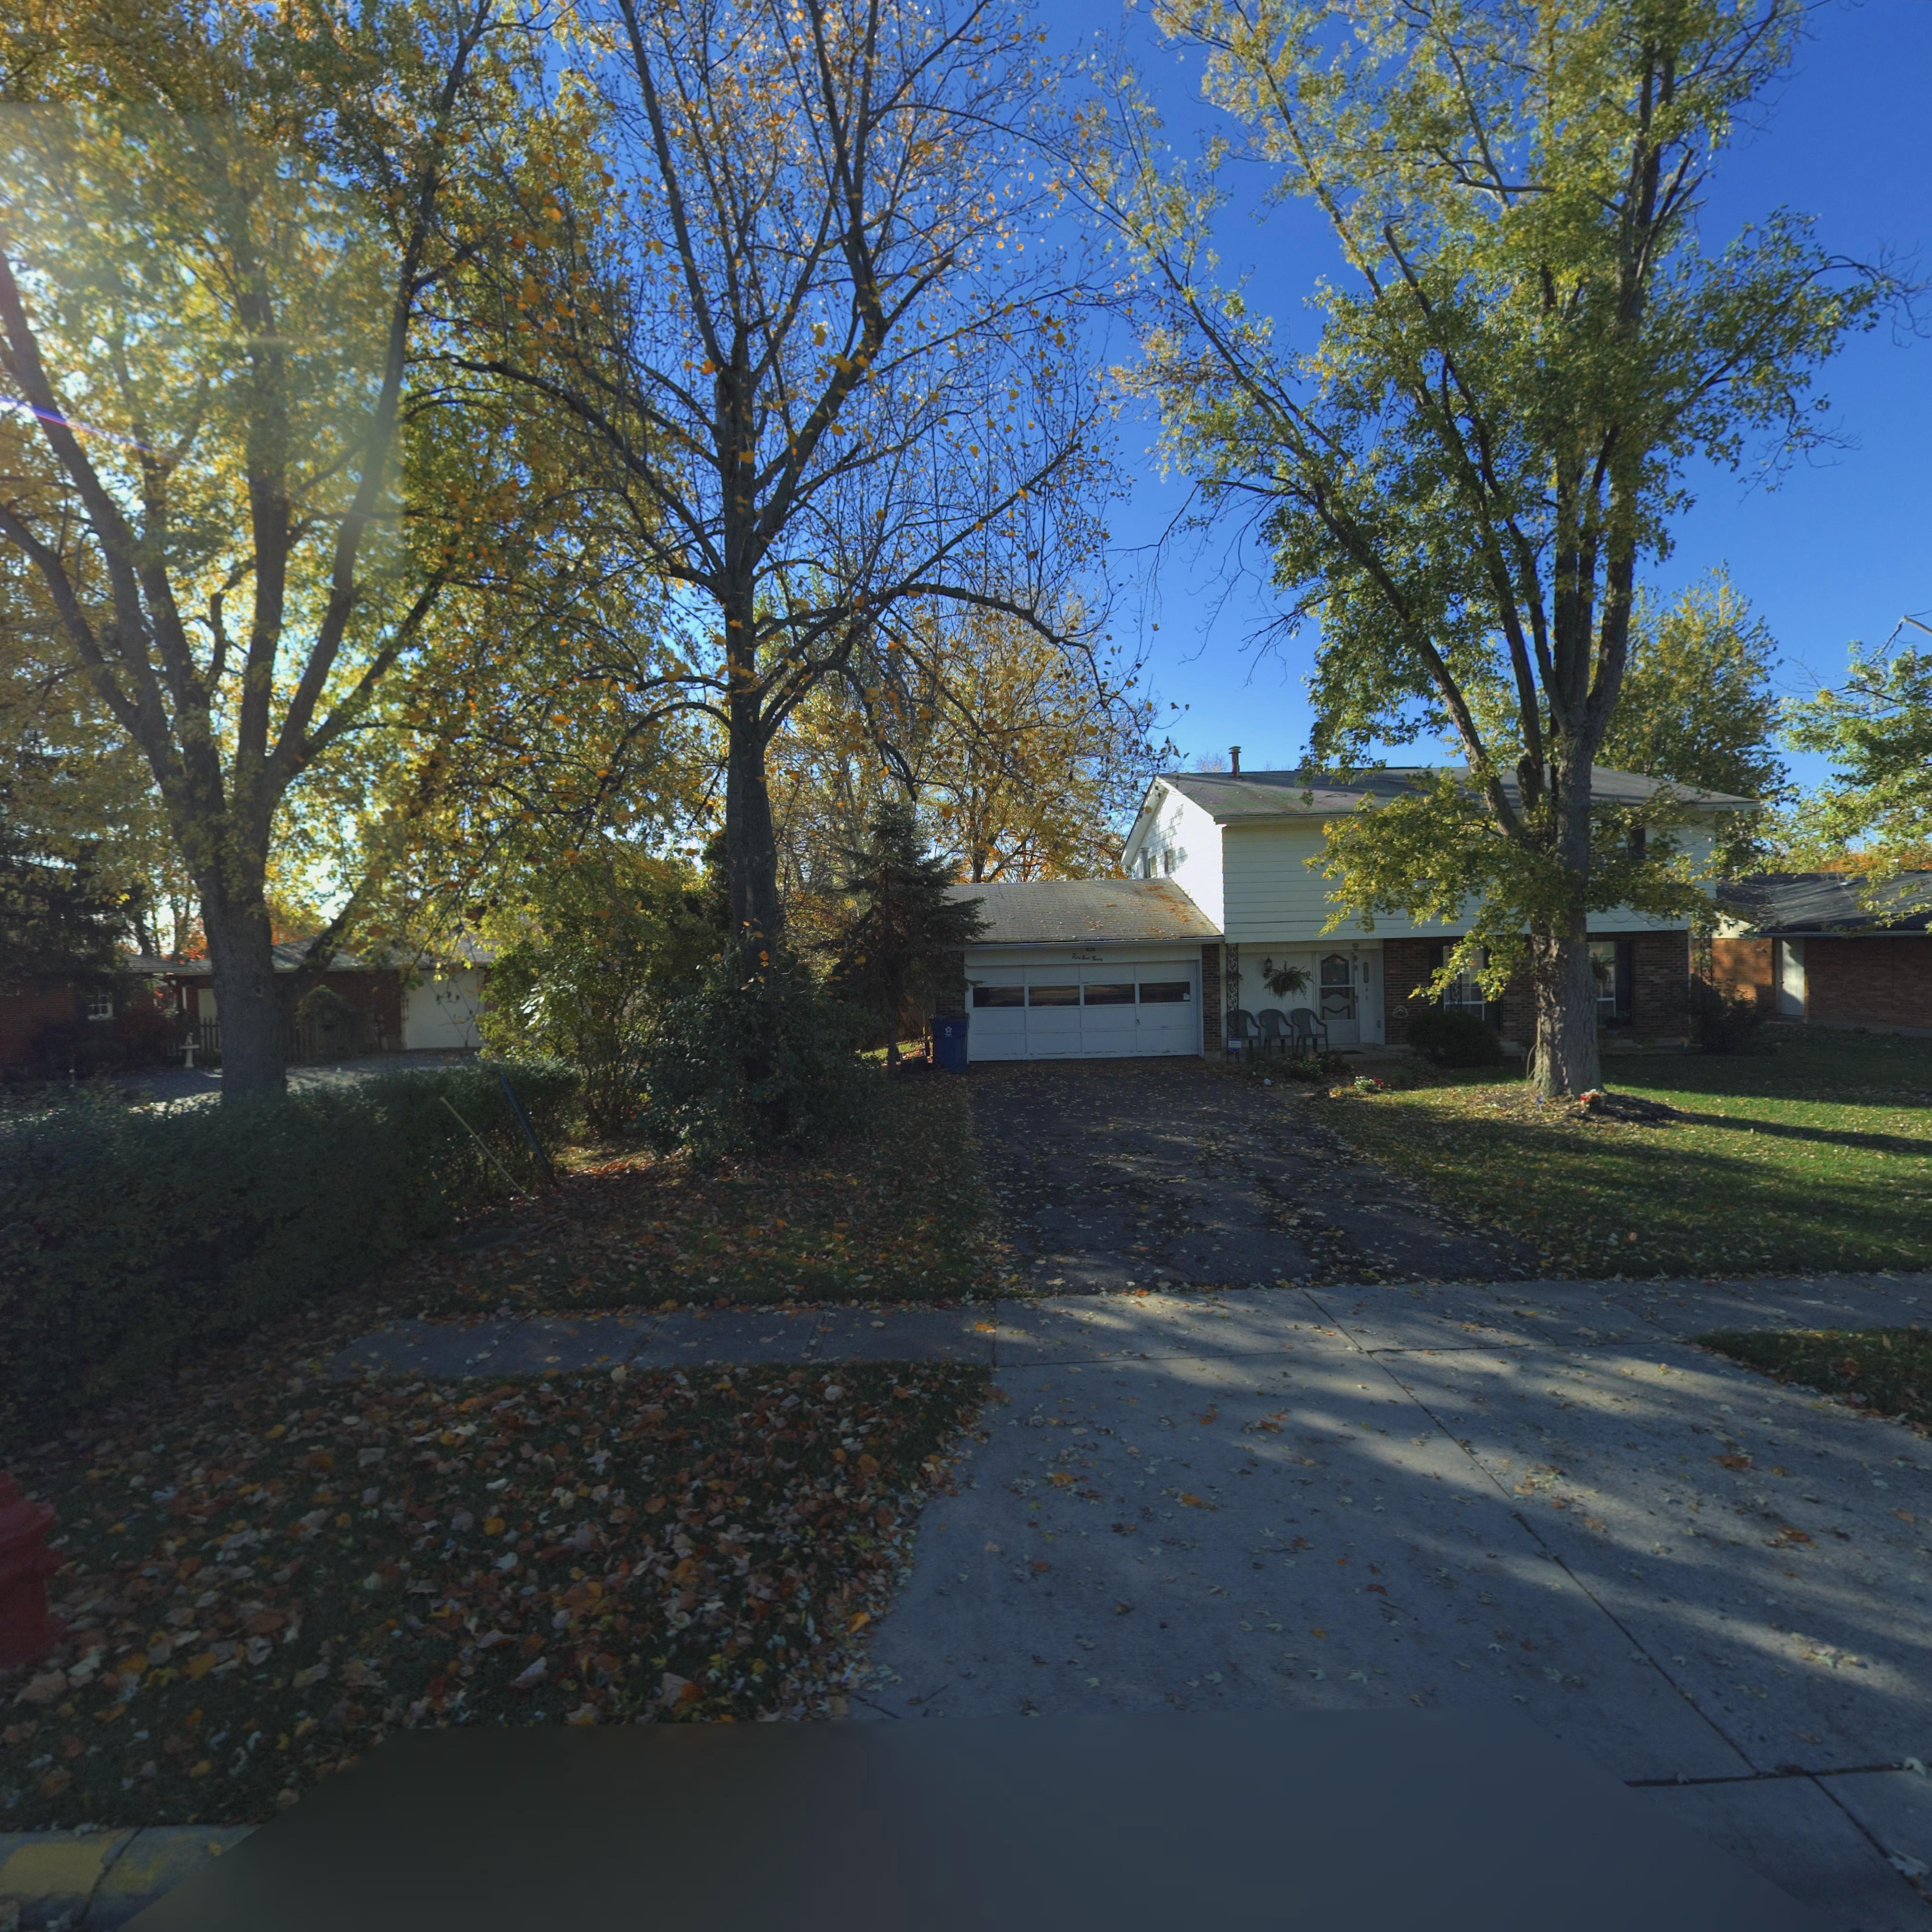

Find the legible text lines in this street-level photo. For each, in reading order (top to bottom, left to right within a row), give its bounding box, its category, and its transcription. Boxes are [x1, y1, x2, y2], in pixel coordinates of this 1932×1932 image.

[1071, 952, 1077, 959] StreetNumber: F
[1091, 956, 1097, 961] StreetNumber: T
[1305, 970, 1311, 978] StreetNumber: 0